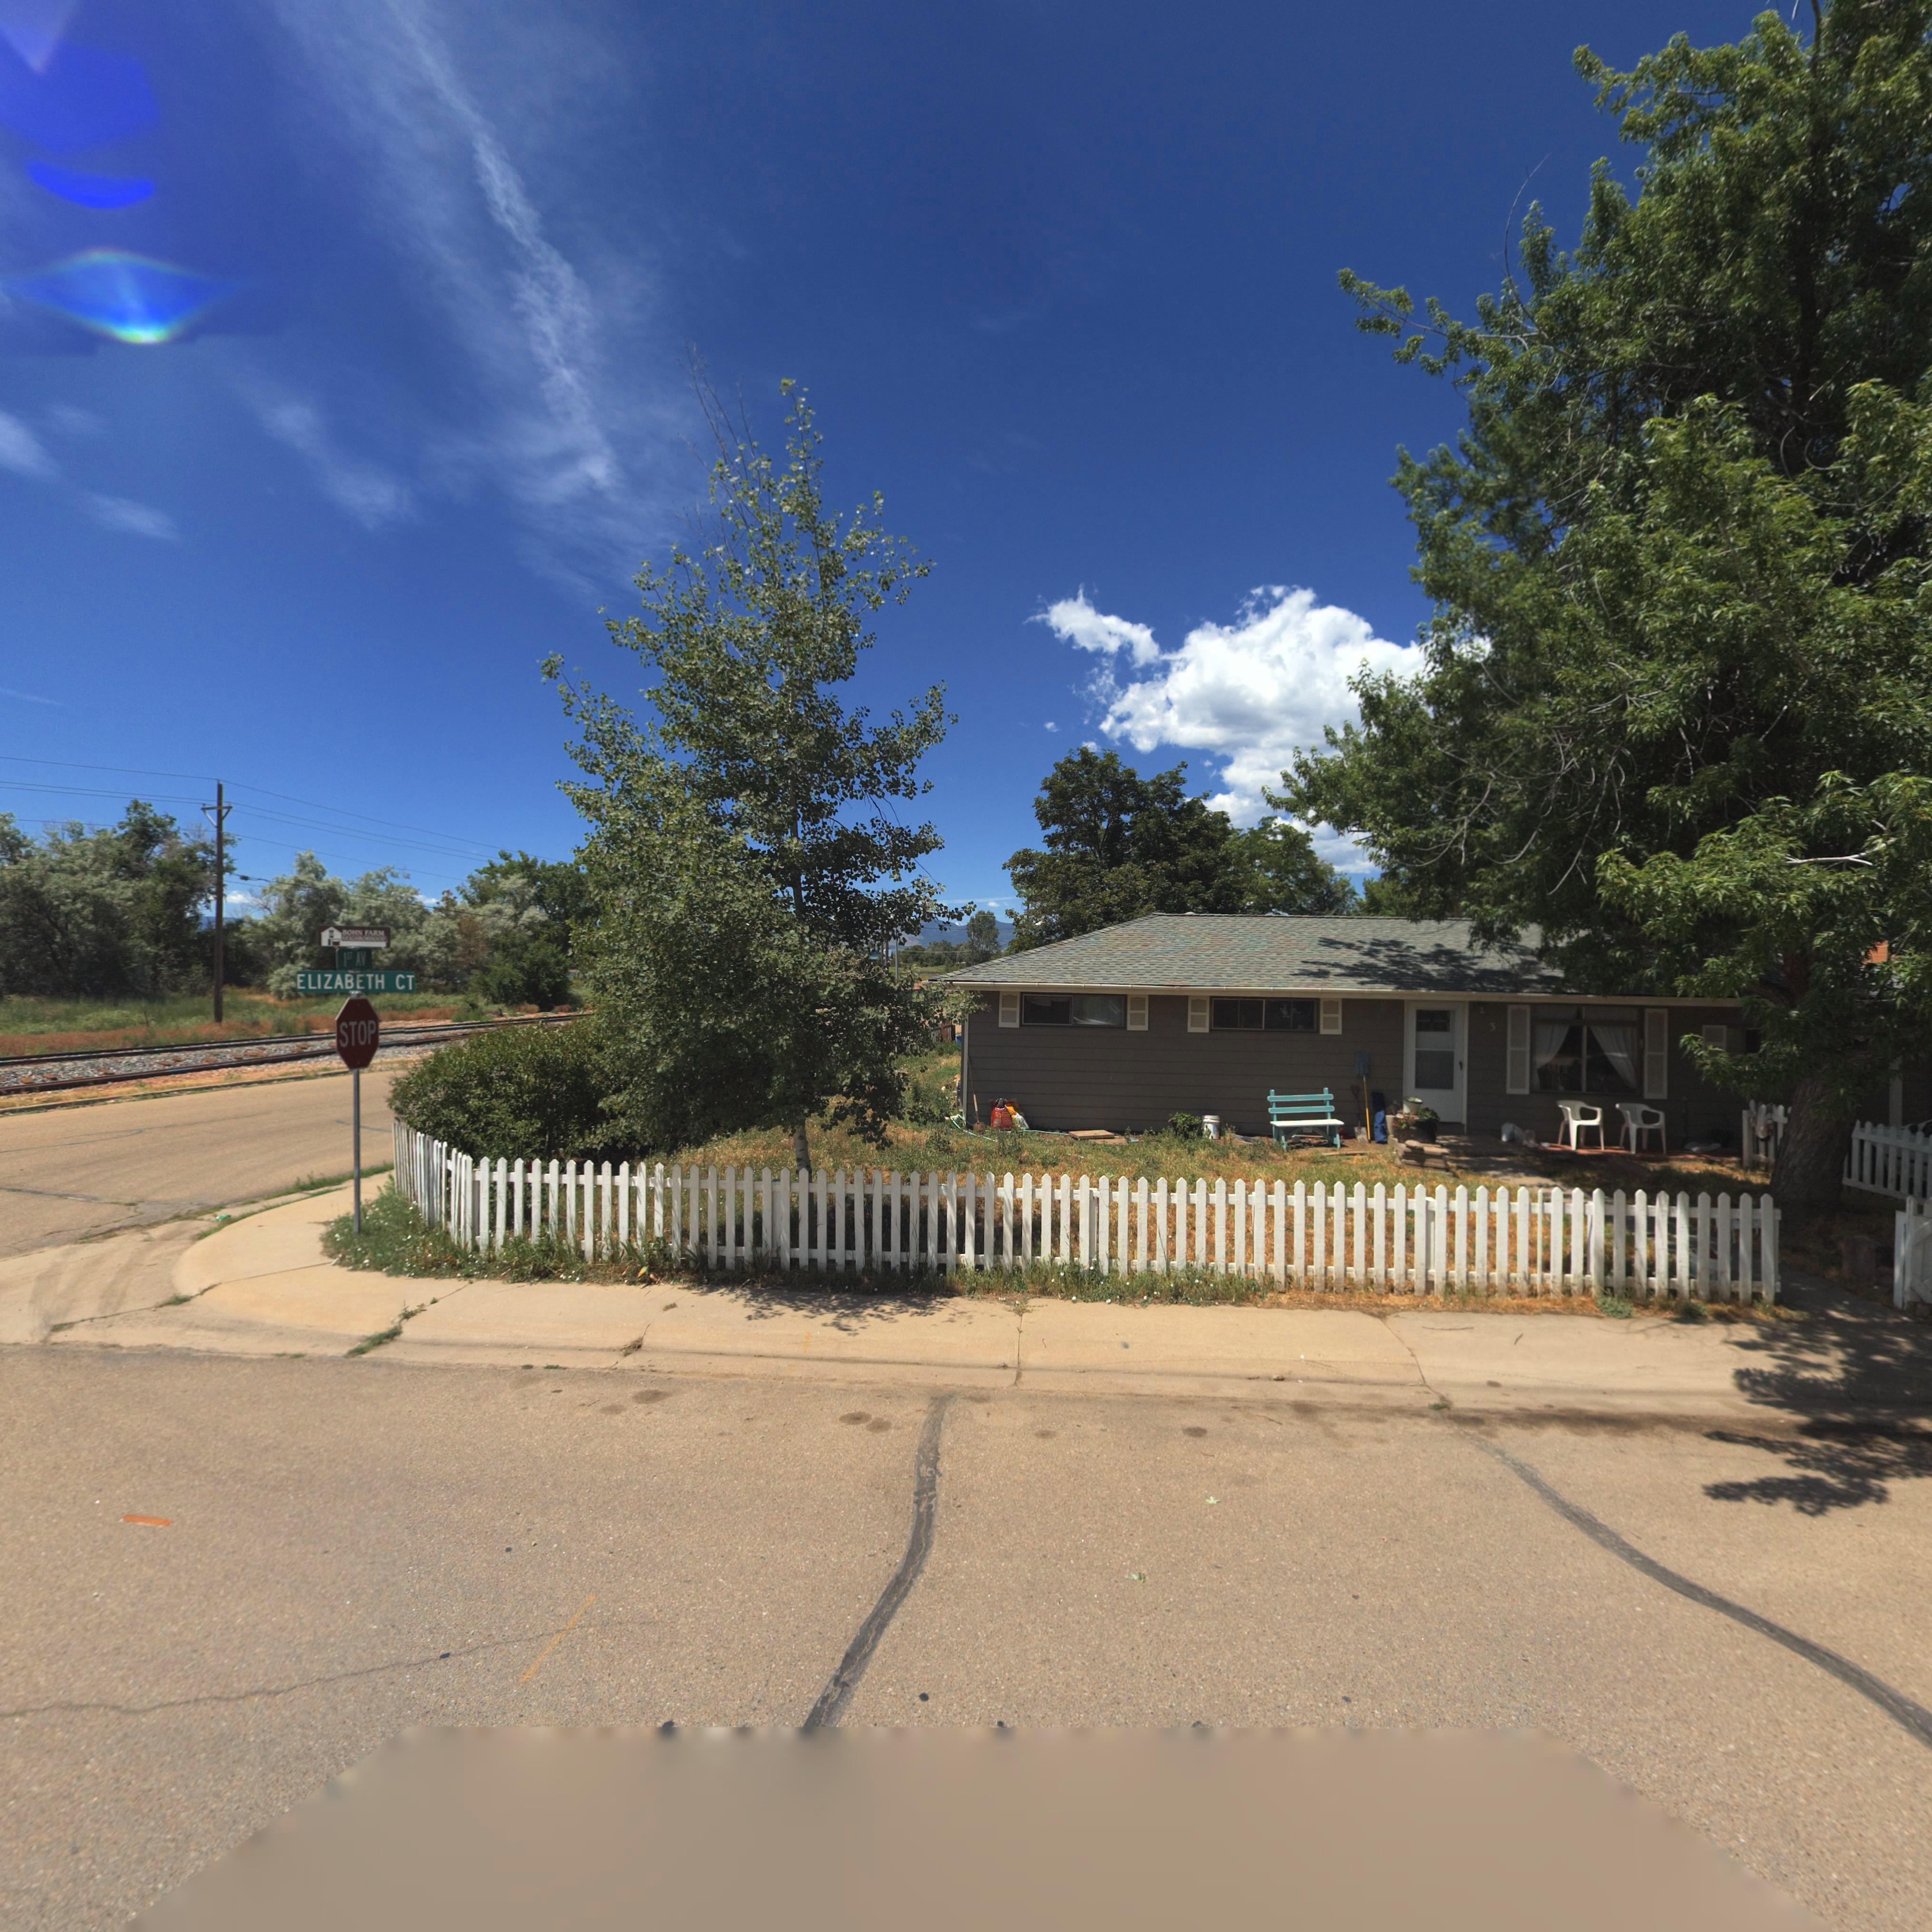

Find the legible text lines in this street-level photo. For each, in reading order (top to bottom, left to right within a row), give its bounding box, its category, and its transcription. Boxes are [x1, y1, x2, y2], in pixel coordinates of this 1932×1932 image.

[342, 951, 367, 967] StreetName: 1ST AV
[296, 973, 415, 990] StreetName: ELIZABETH CT
[1488, 1021, 1496, 1032] StreetNumber: 3